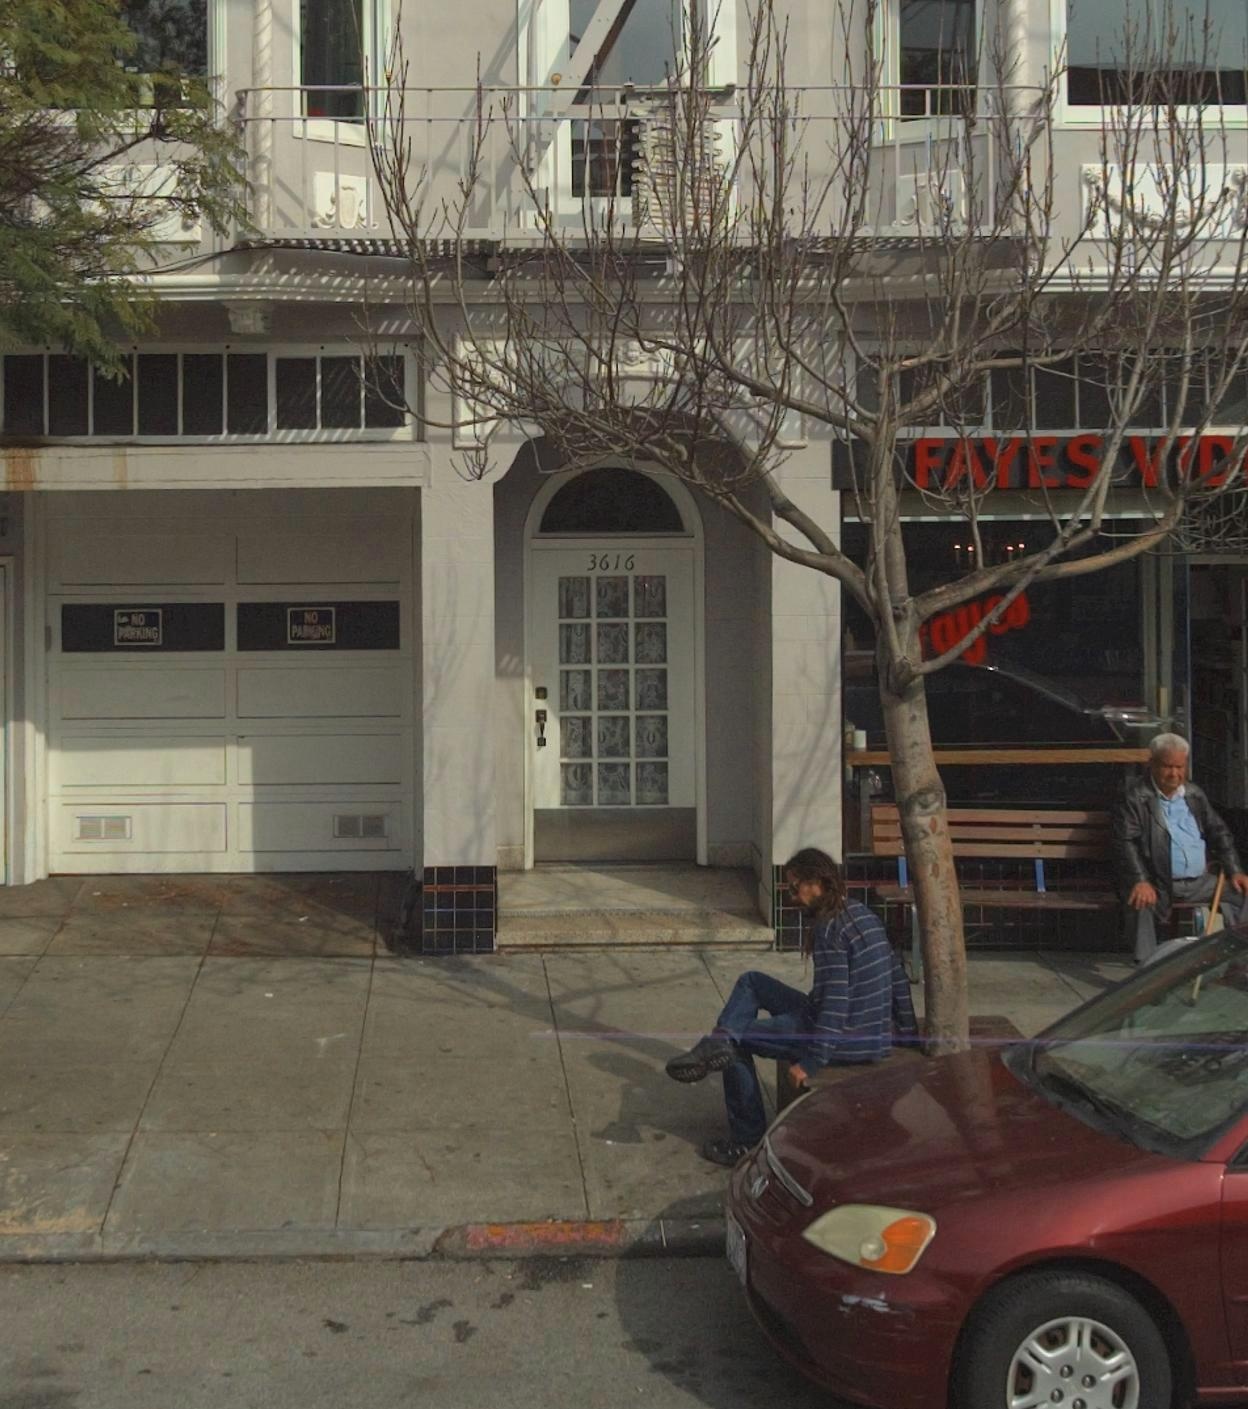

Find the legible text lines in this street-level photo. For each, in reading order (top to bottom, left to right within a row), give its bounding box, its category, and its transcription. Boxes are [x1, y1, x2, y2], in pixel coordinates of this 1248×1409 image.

[912, 433, 1243, 491] BusinessName: FAYES V**
[586, 552, 635, 572] StreetNumber: 3616
[130, 613, 146, 626] None: NO
[303, 611, 319, 624] None: NO
[116, 626, 159, 640] None: PARKING
[290, 623, 332, 638] None: PA***NG